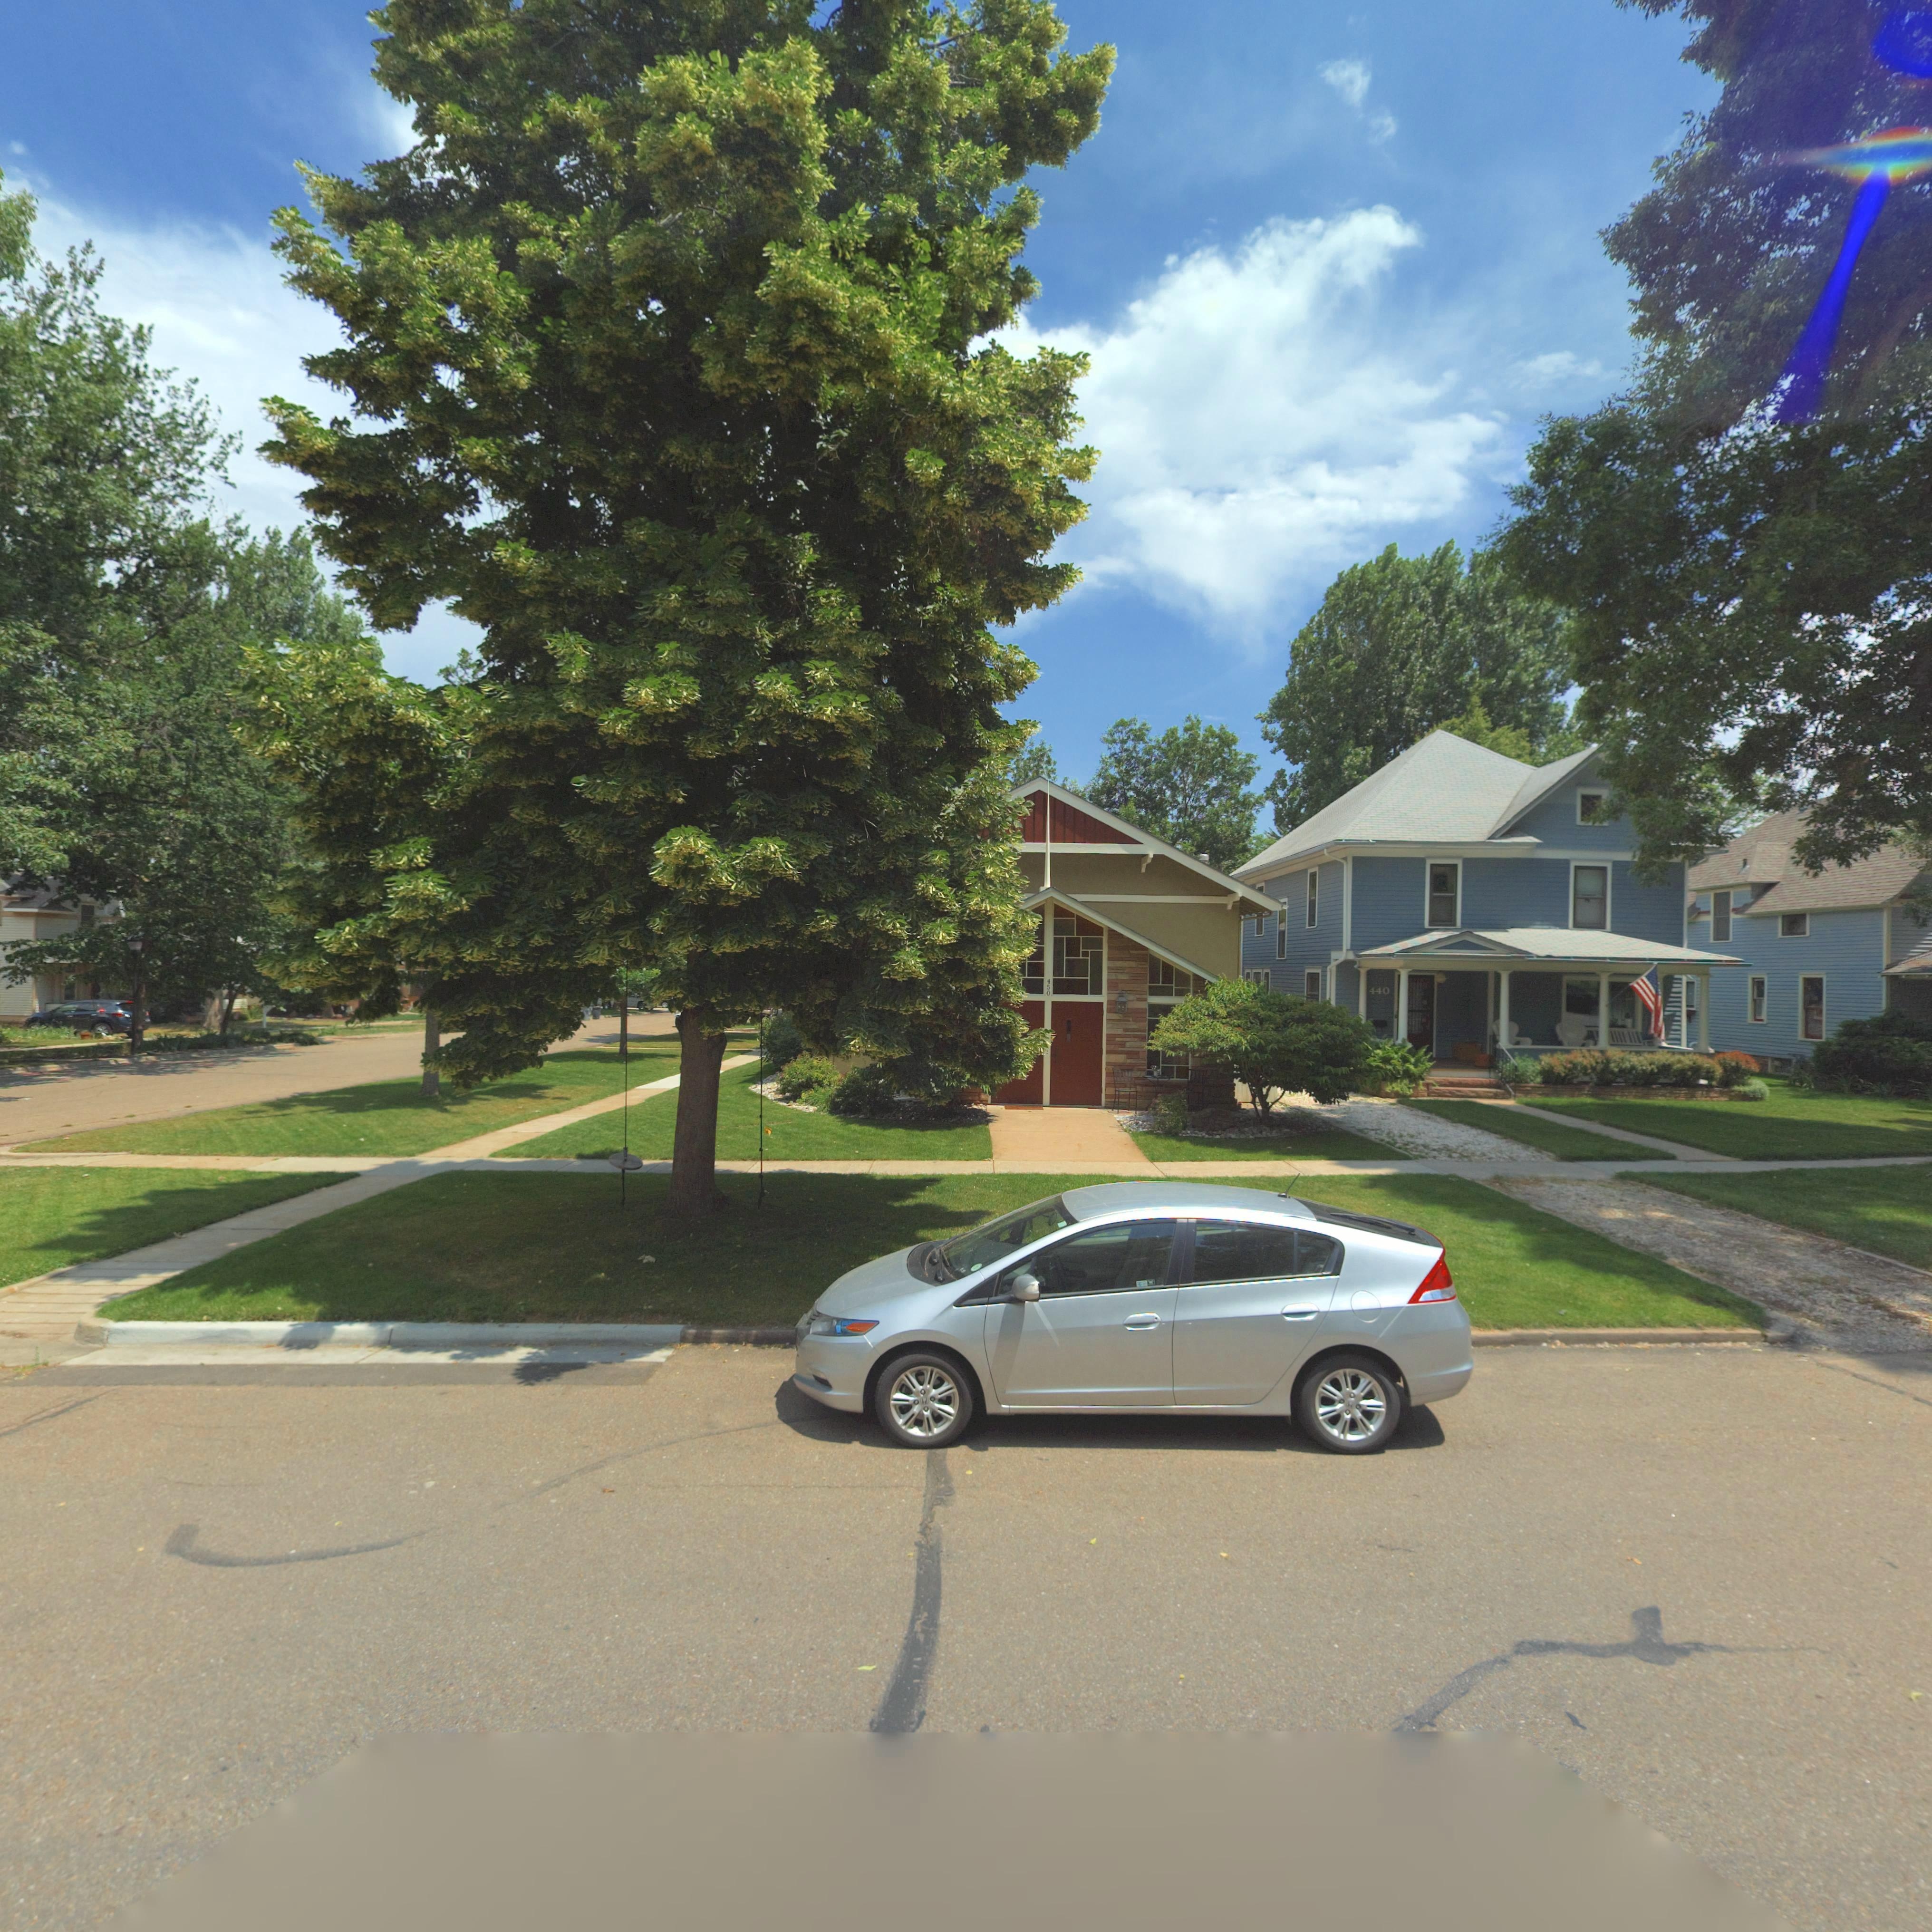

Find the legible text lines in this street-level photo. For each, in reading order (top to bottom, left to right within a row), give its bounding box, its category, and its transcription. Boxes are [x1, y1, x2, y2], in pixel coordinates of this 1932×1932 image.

[1046, 978, 1050, 996] StreetNumber: 450
[1368, 986, 1390, 994] StreetNumber: 440